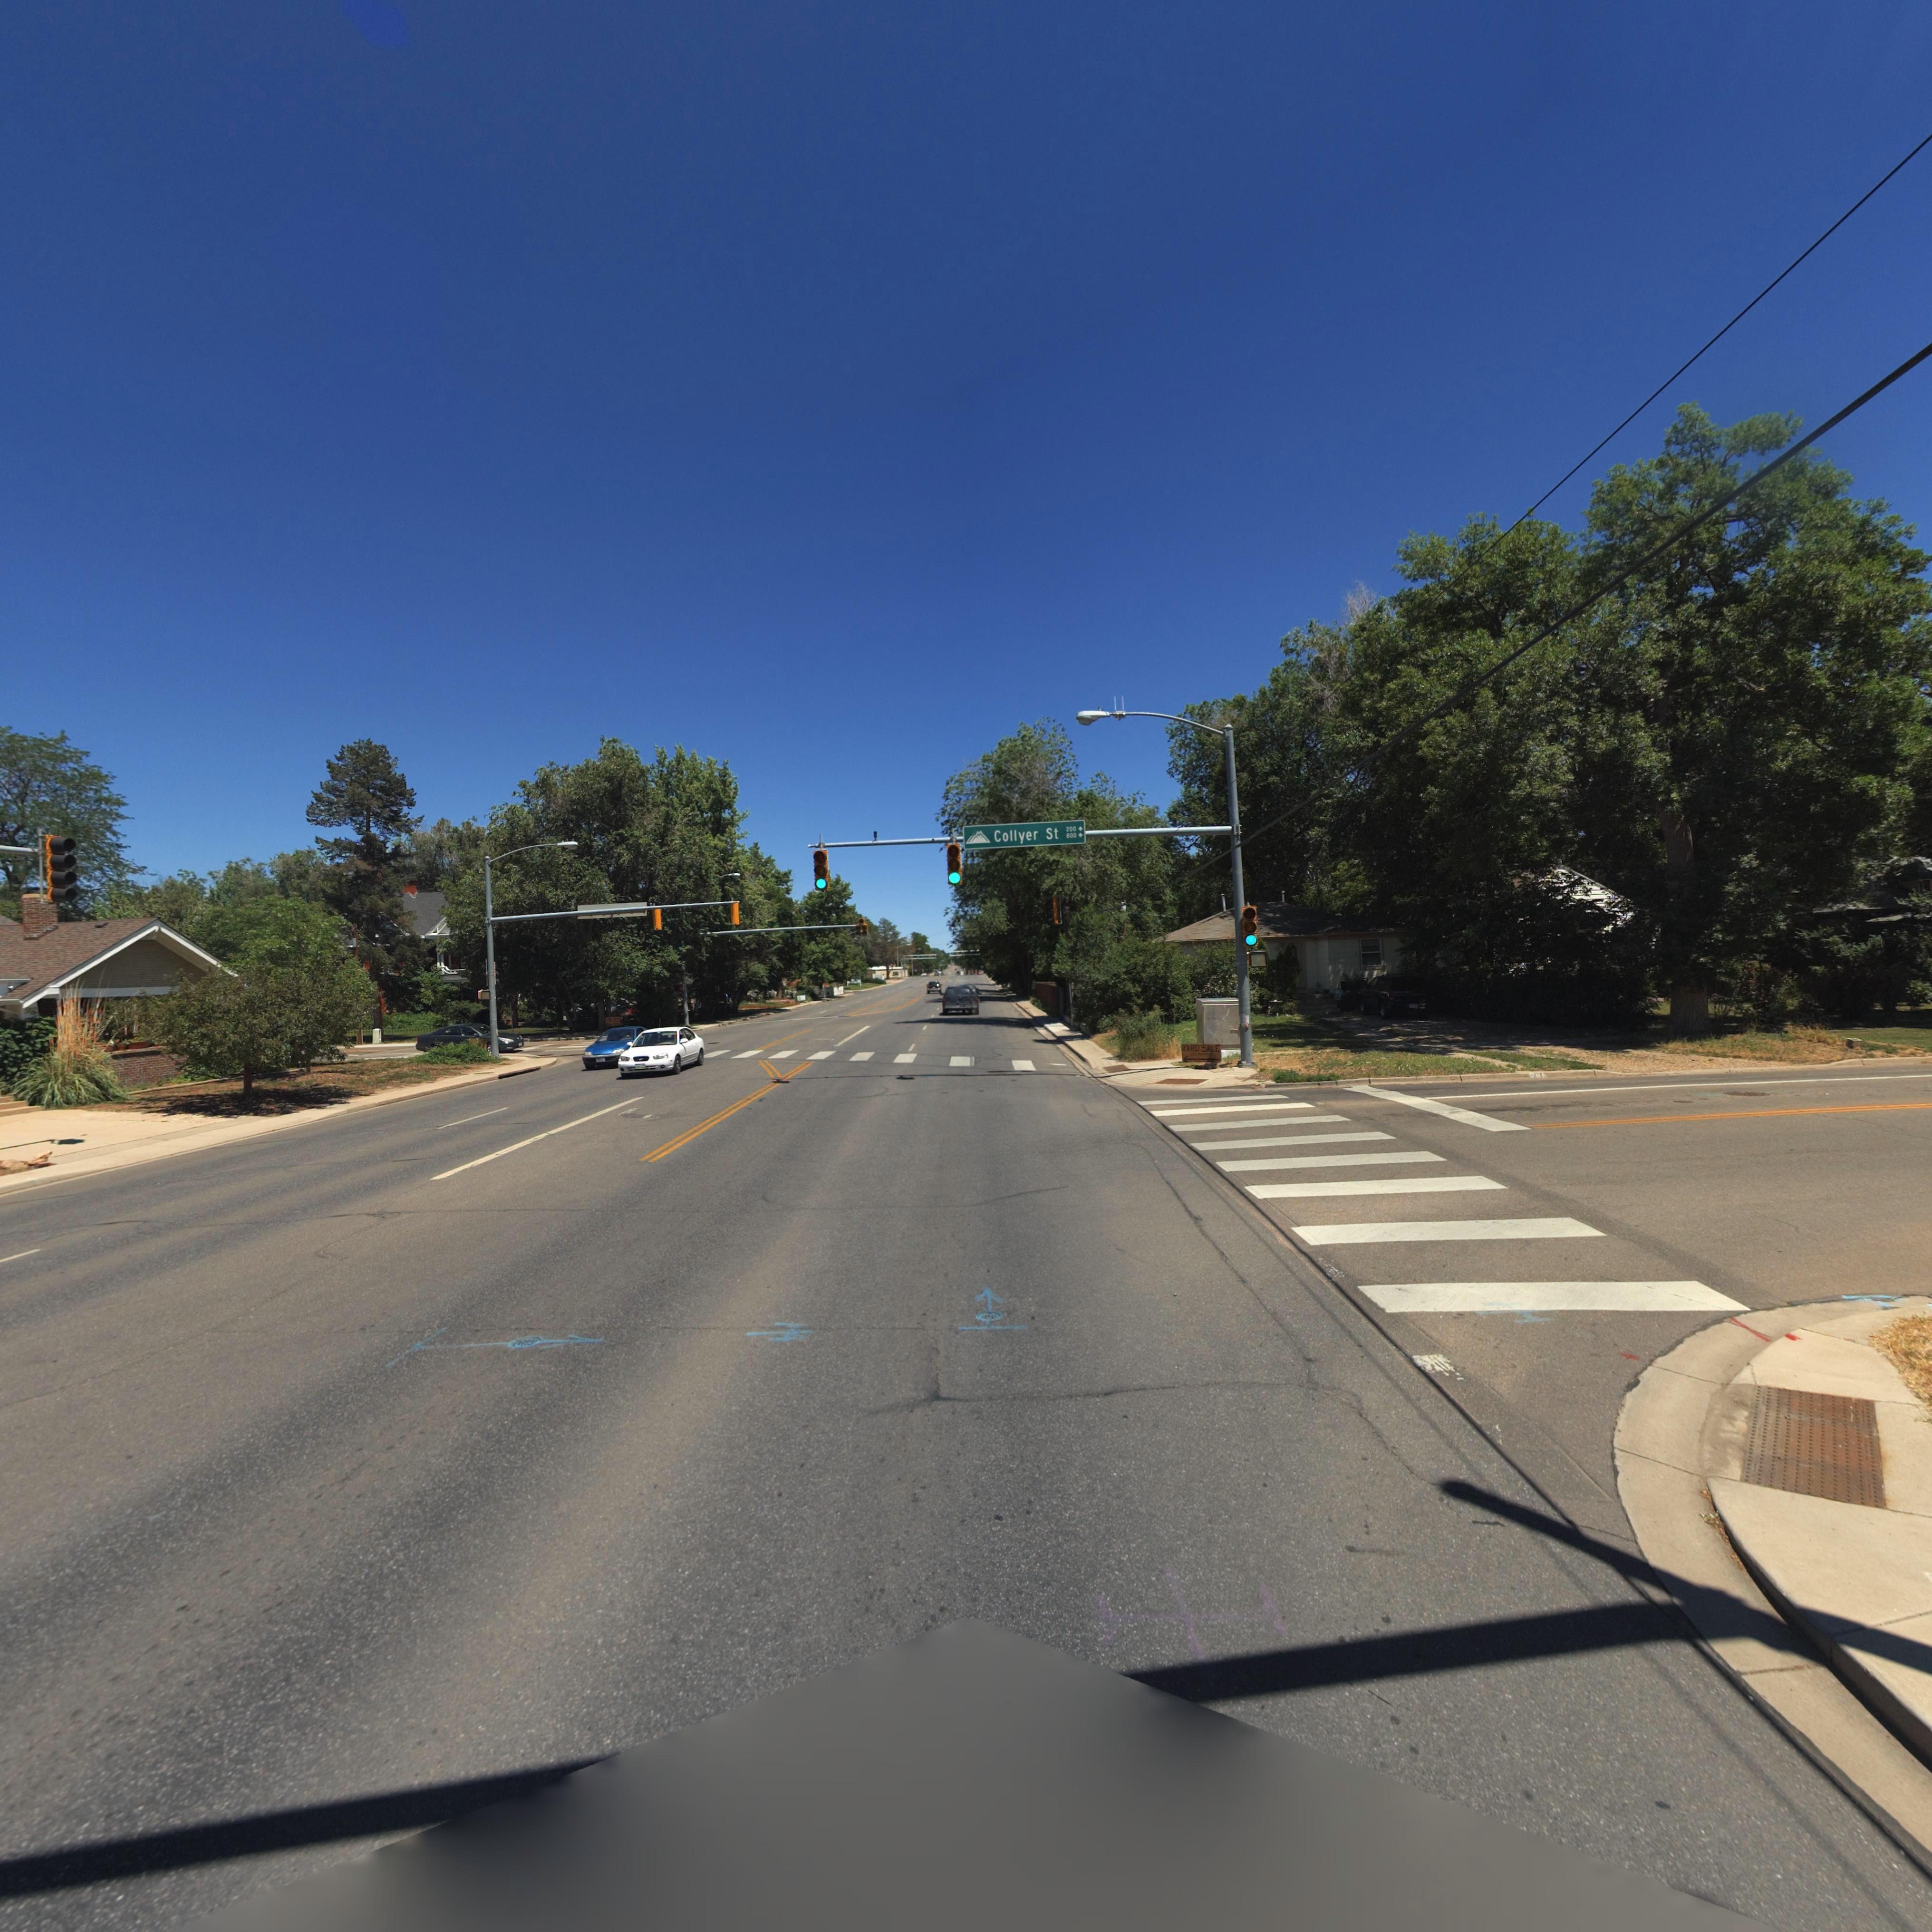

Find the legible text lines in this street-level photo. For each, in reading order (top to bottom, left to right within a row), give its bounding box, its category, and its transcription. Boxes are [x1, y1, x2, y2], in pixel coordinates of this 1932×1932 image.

[1066, 826, 1076, 831] StreetName: 200
[994, 827, 1058, 844] StreetName: Collyer St
[1066, 832, 1083, 838] StreetNumberRange: 800->